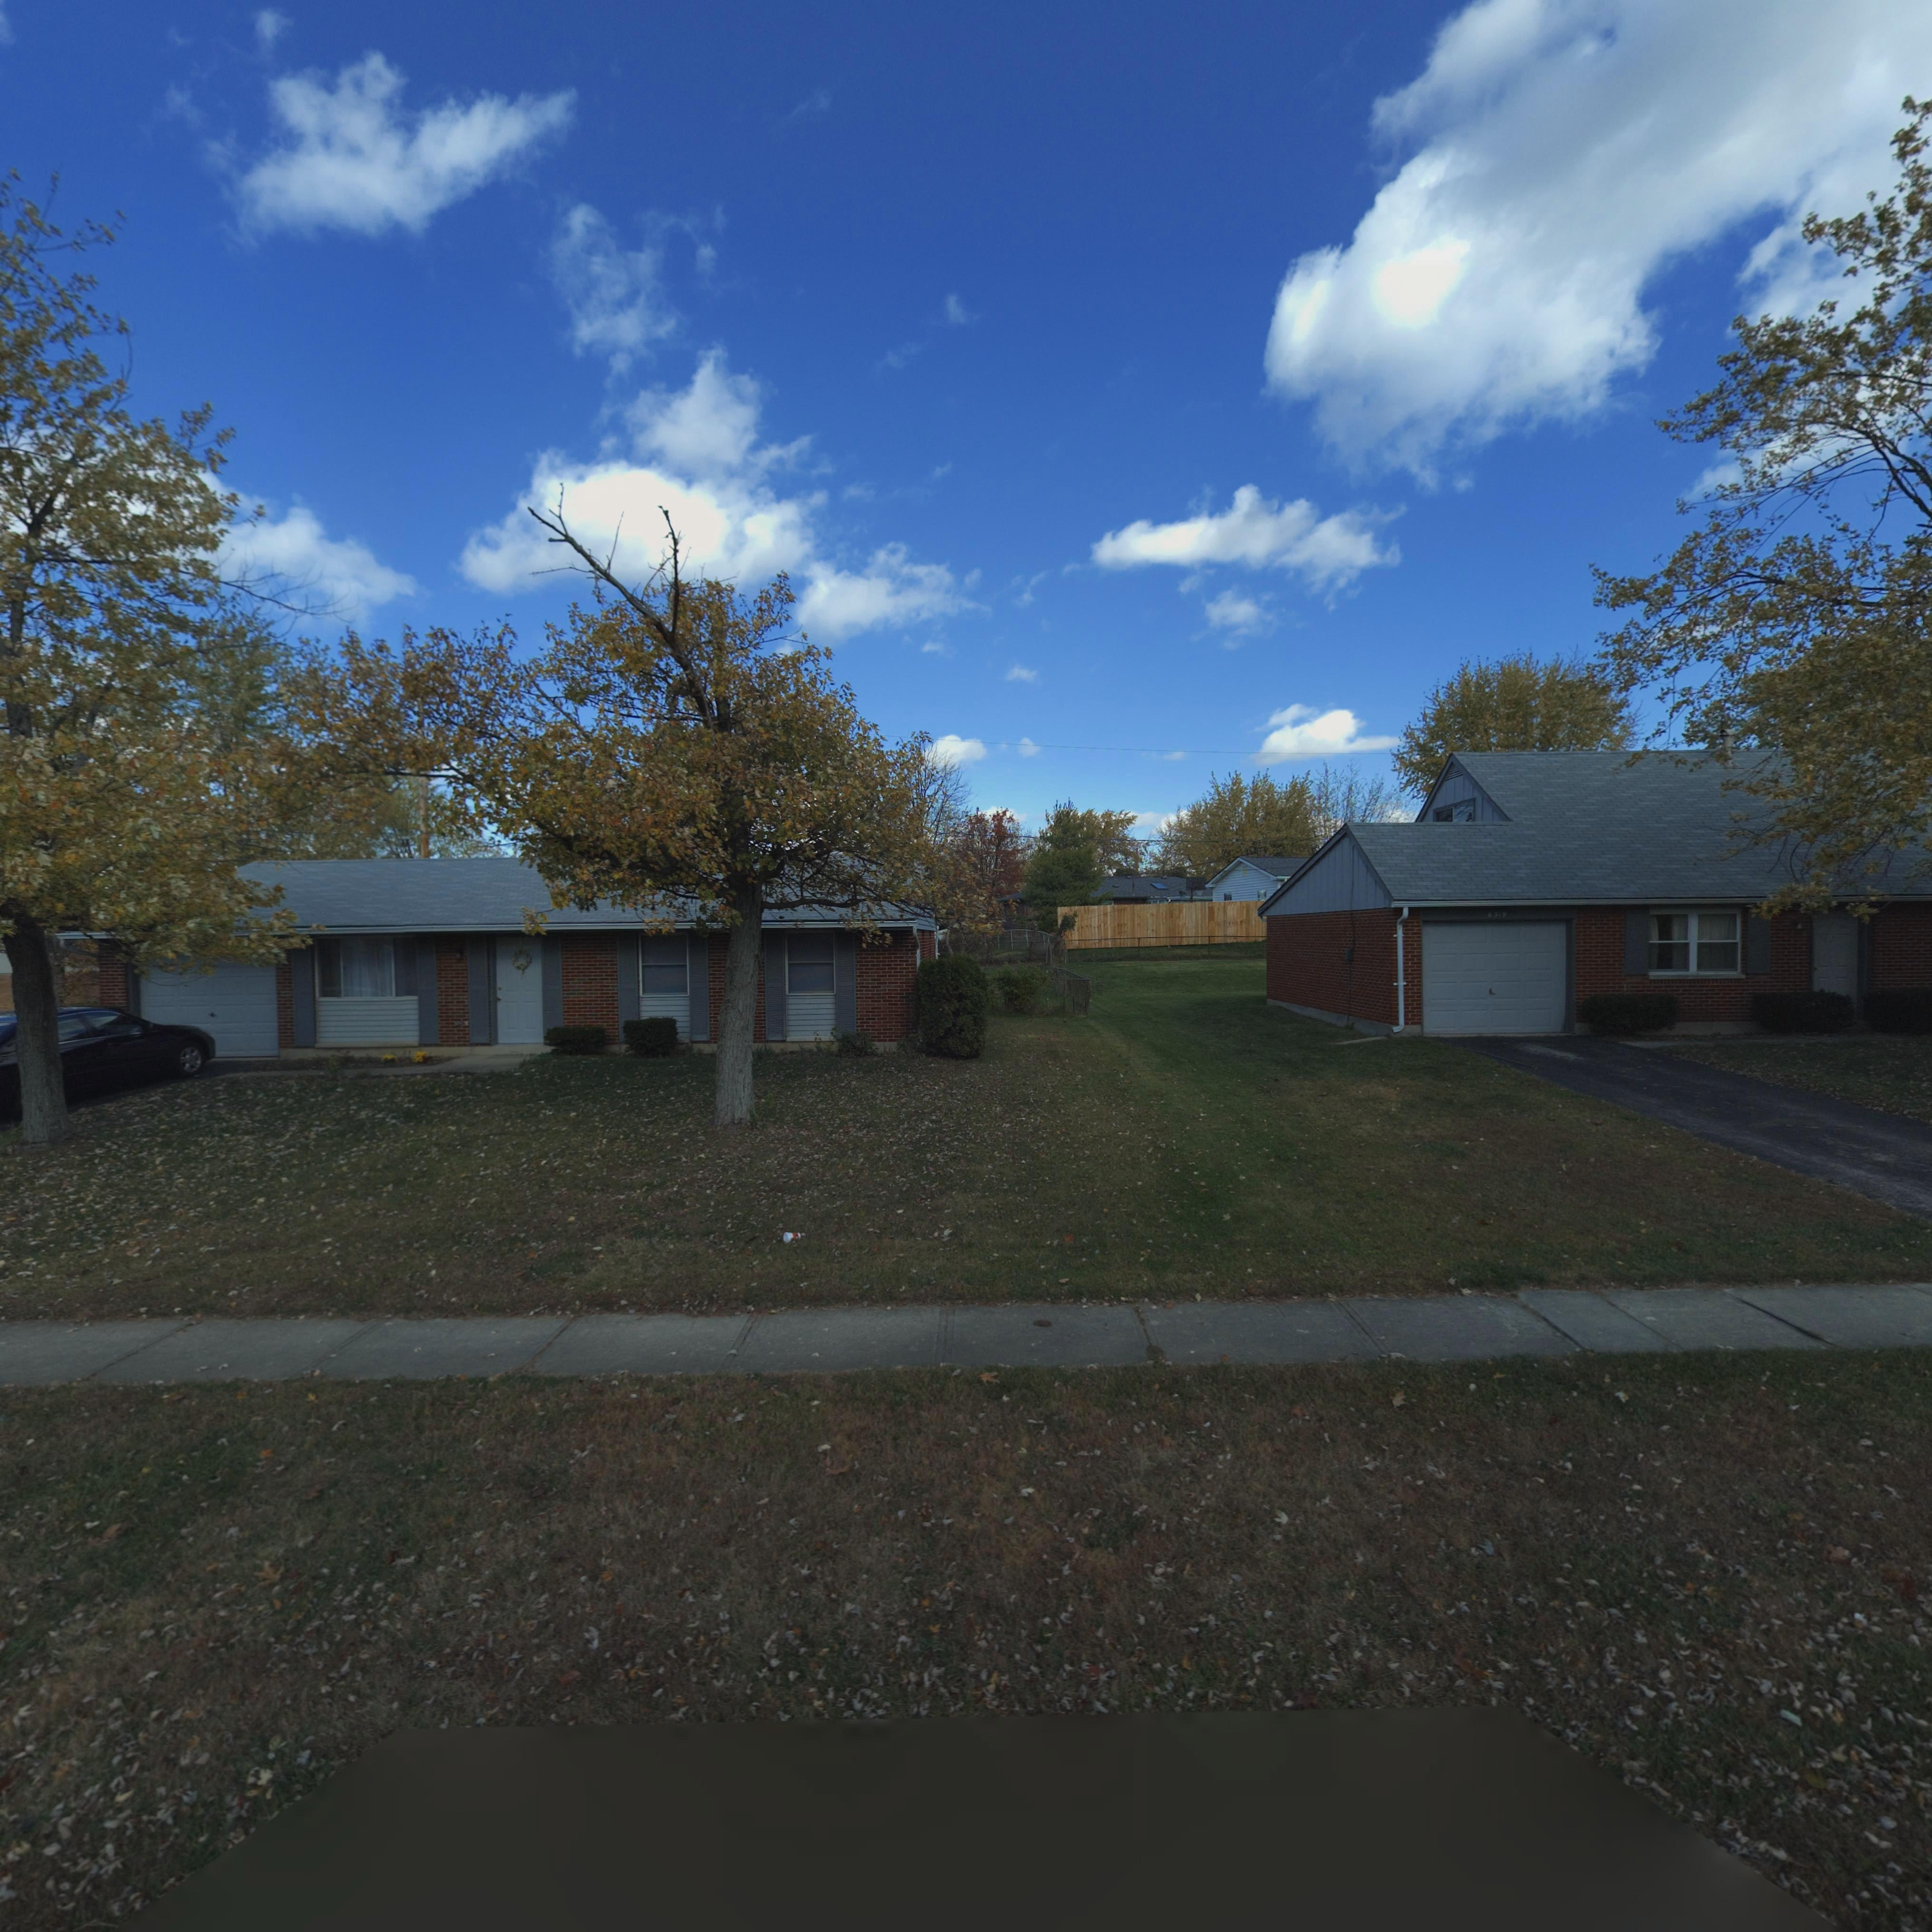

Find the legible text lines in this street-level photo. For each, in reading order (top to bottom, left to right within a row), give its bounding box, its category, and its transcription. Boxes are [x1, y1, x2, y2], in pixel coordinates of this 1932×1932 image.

[1487, 910, 1507, 918] StreetNumber: 6519